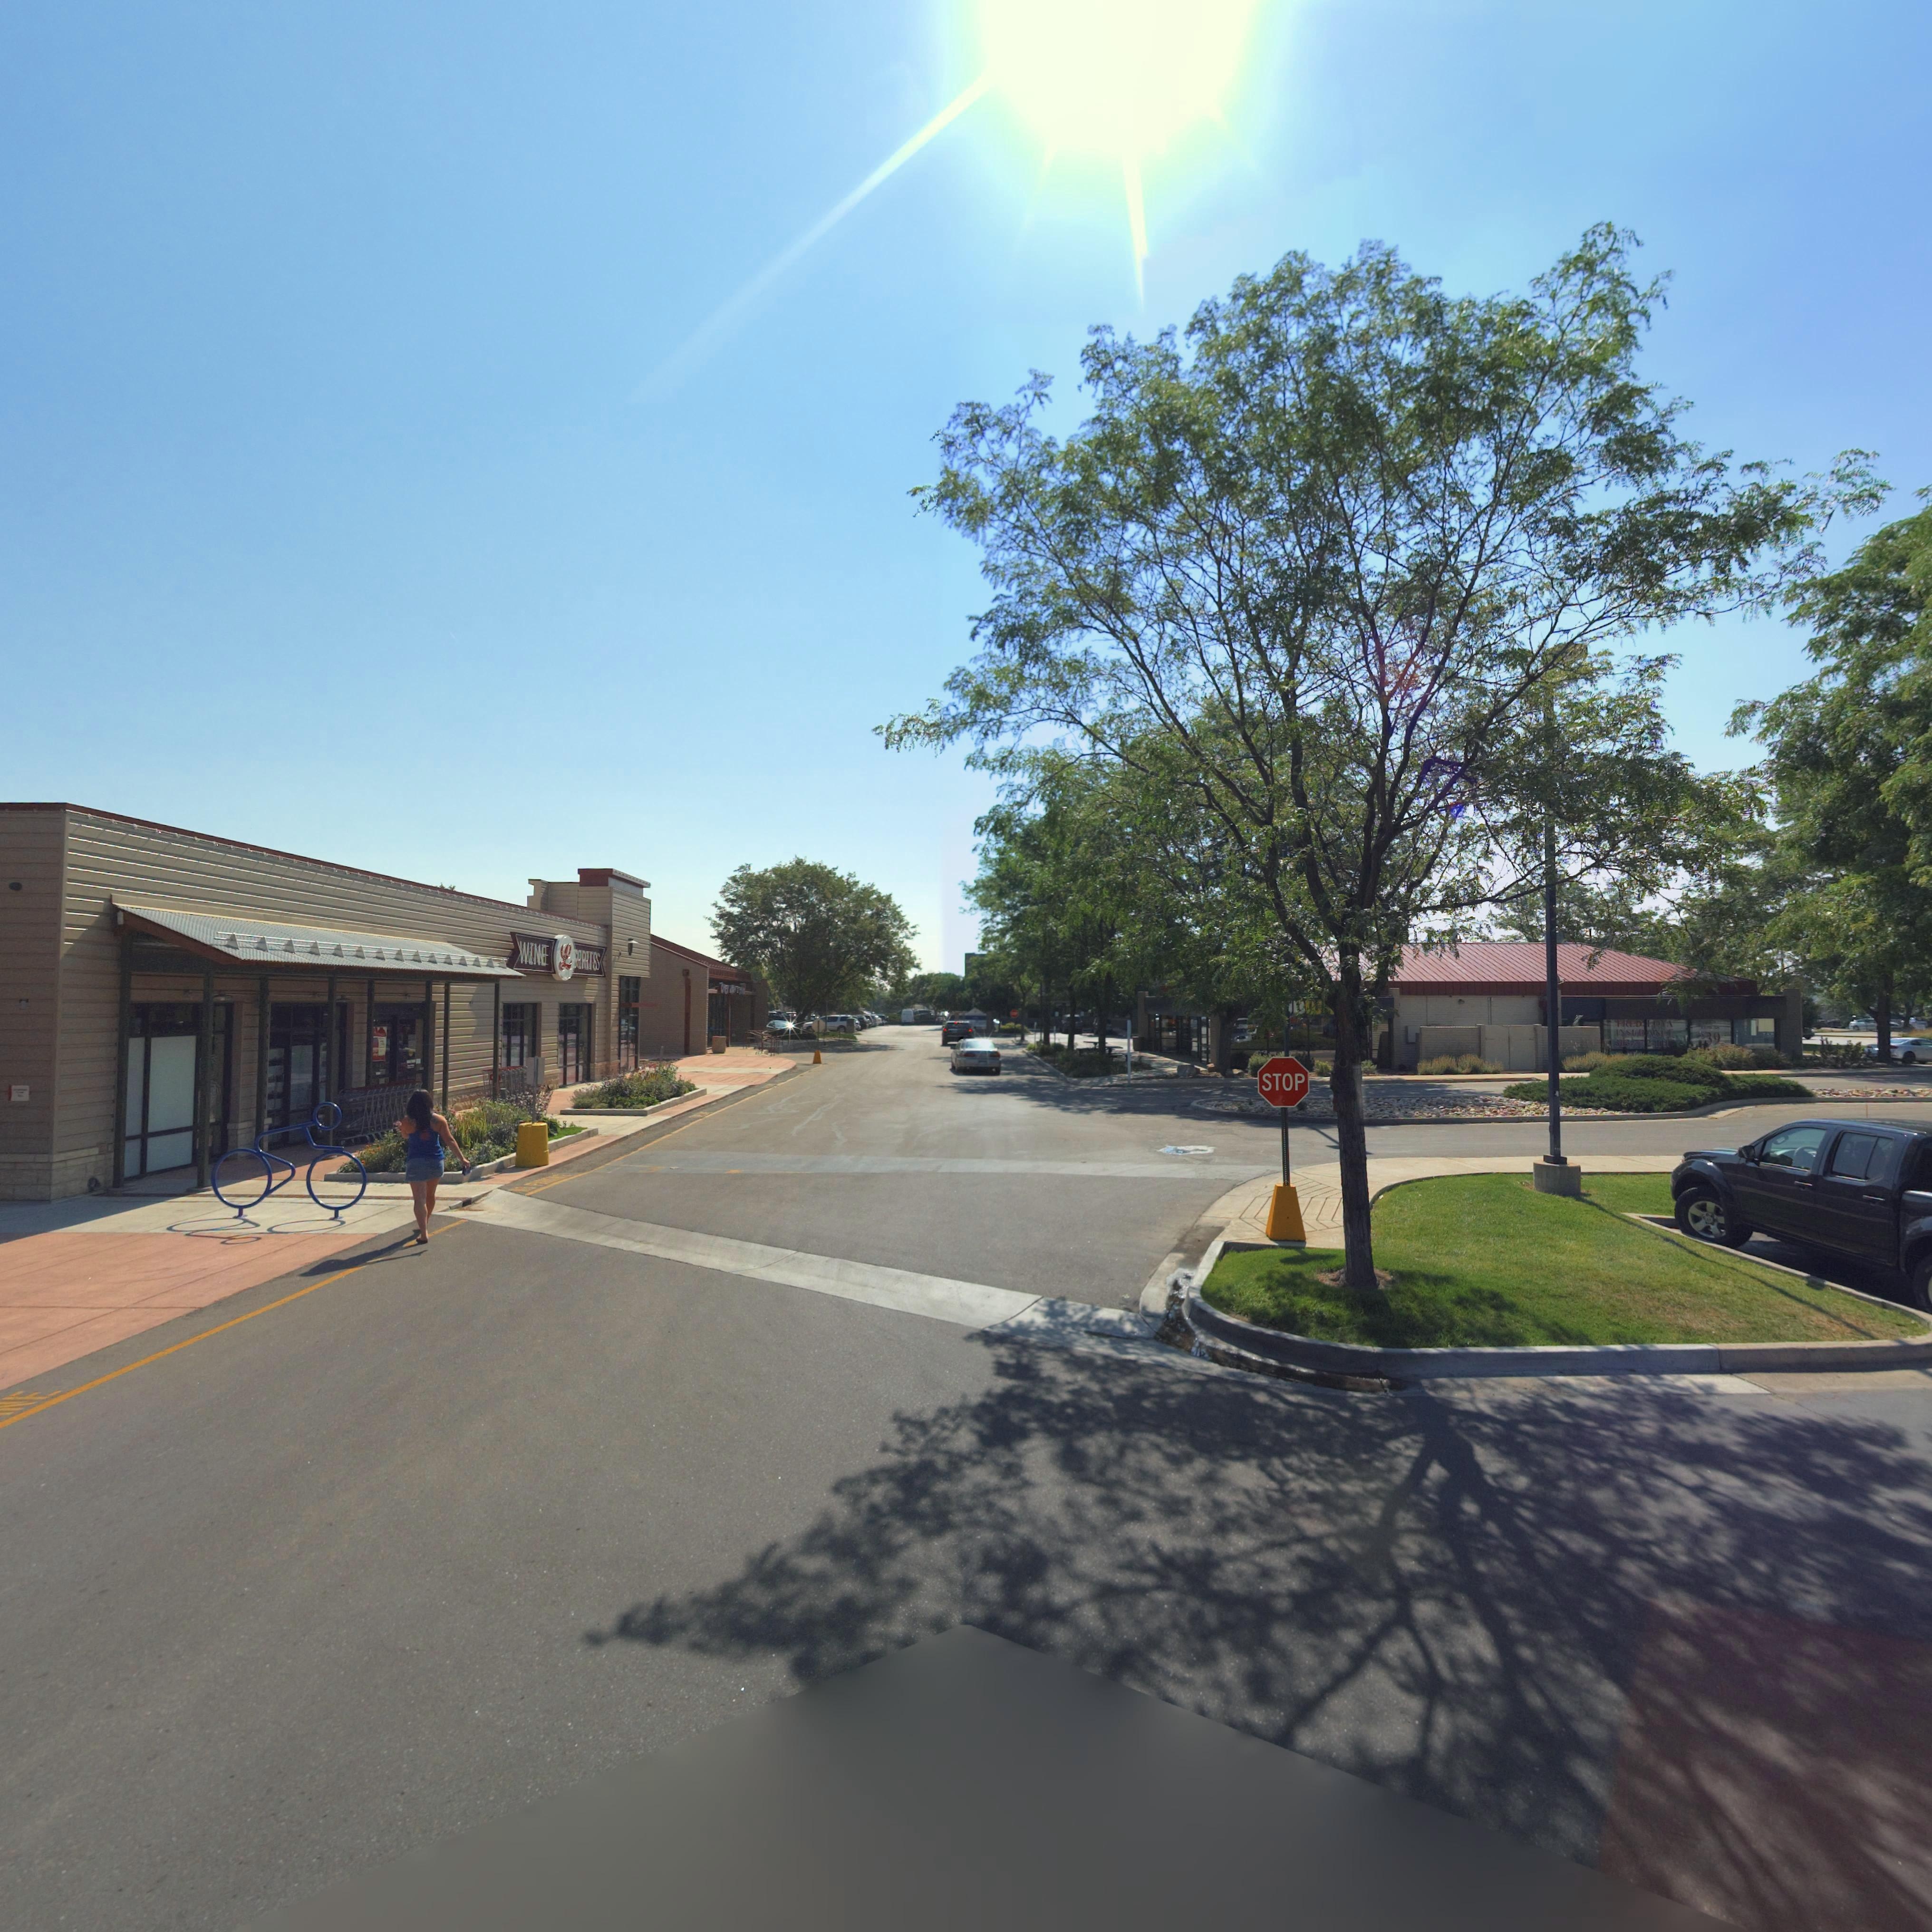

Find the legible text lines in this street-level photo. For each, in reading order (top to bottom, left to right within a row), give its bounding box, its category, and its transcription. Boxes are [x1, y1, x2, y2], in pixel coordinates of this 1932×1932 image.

[519, 940, 550, 966] BusinessName: WINE
[558, 942, 572, 972] BusinessName: L
[572, 948, 601, 971] BusinessName: SPIRITS
[720, 982, 745, 995] BusinessName: Onc* **** * *****
[1281, 999, 1323, 1016] BusinessName: UBW